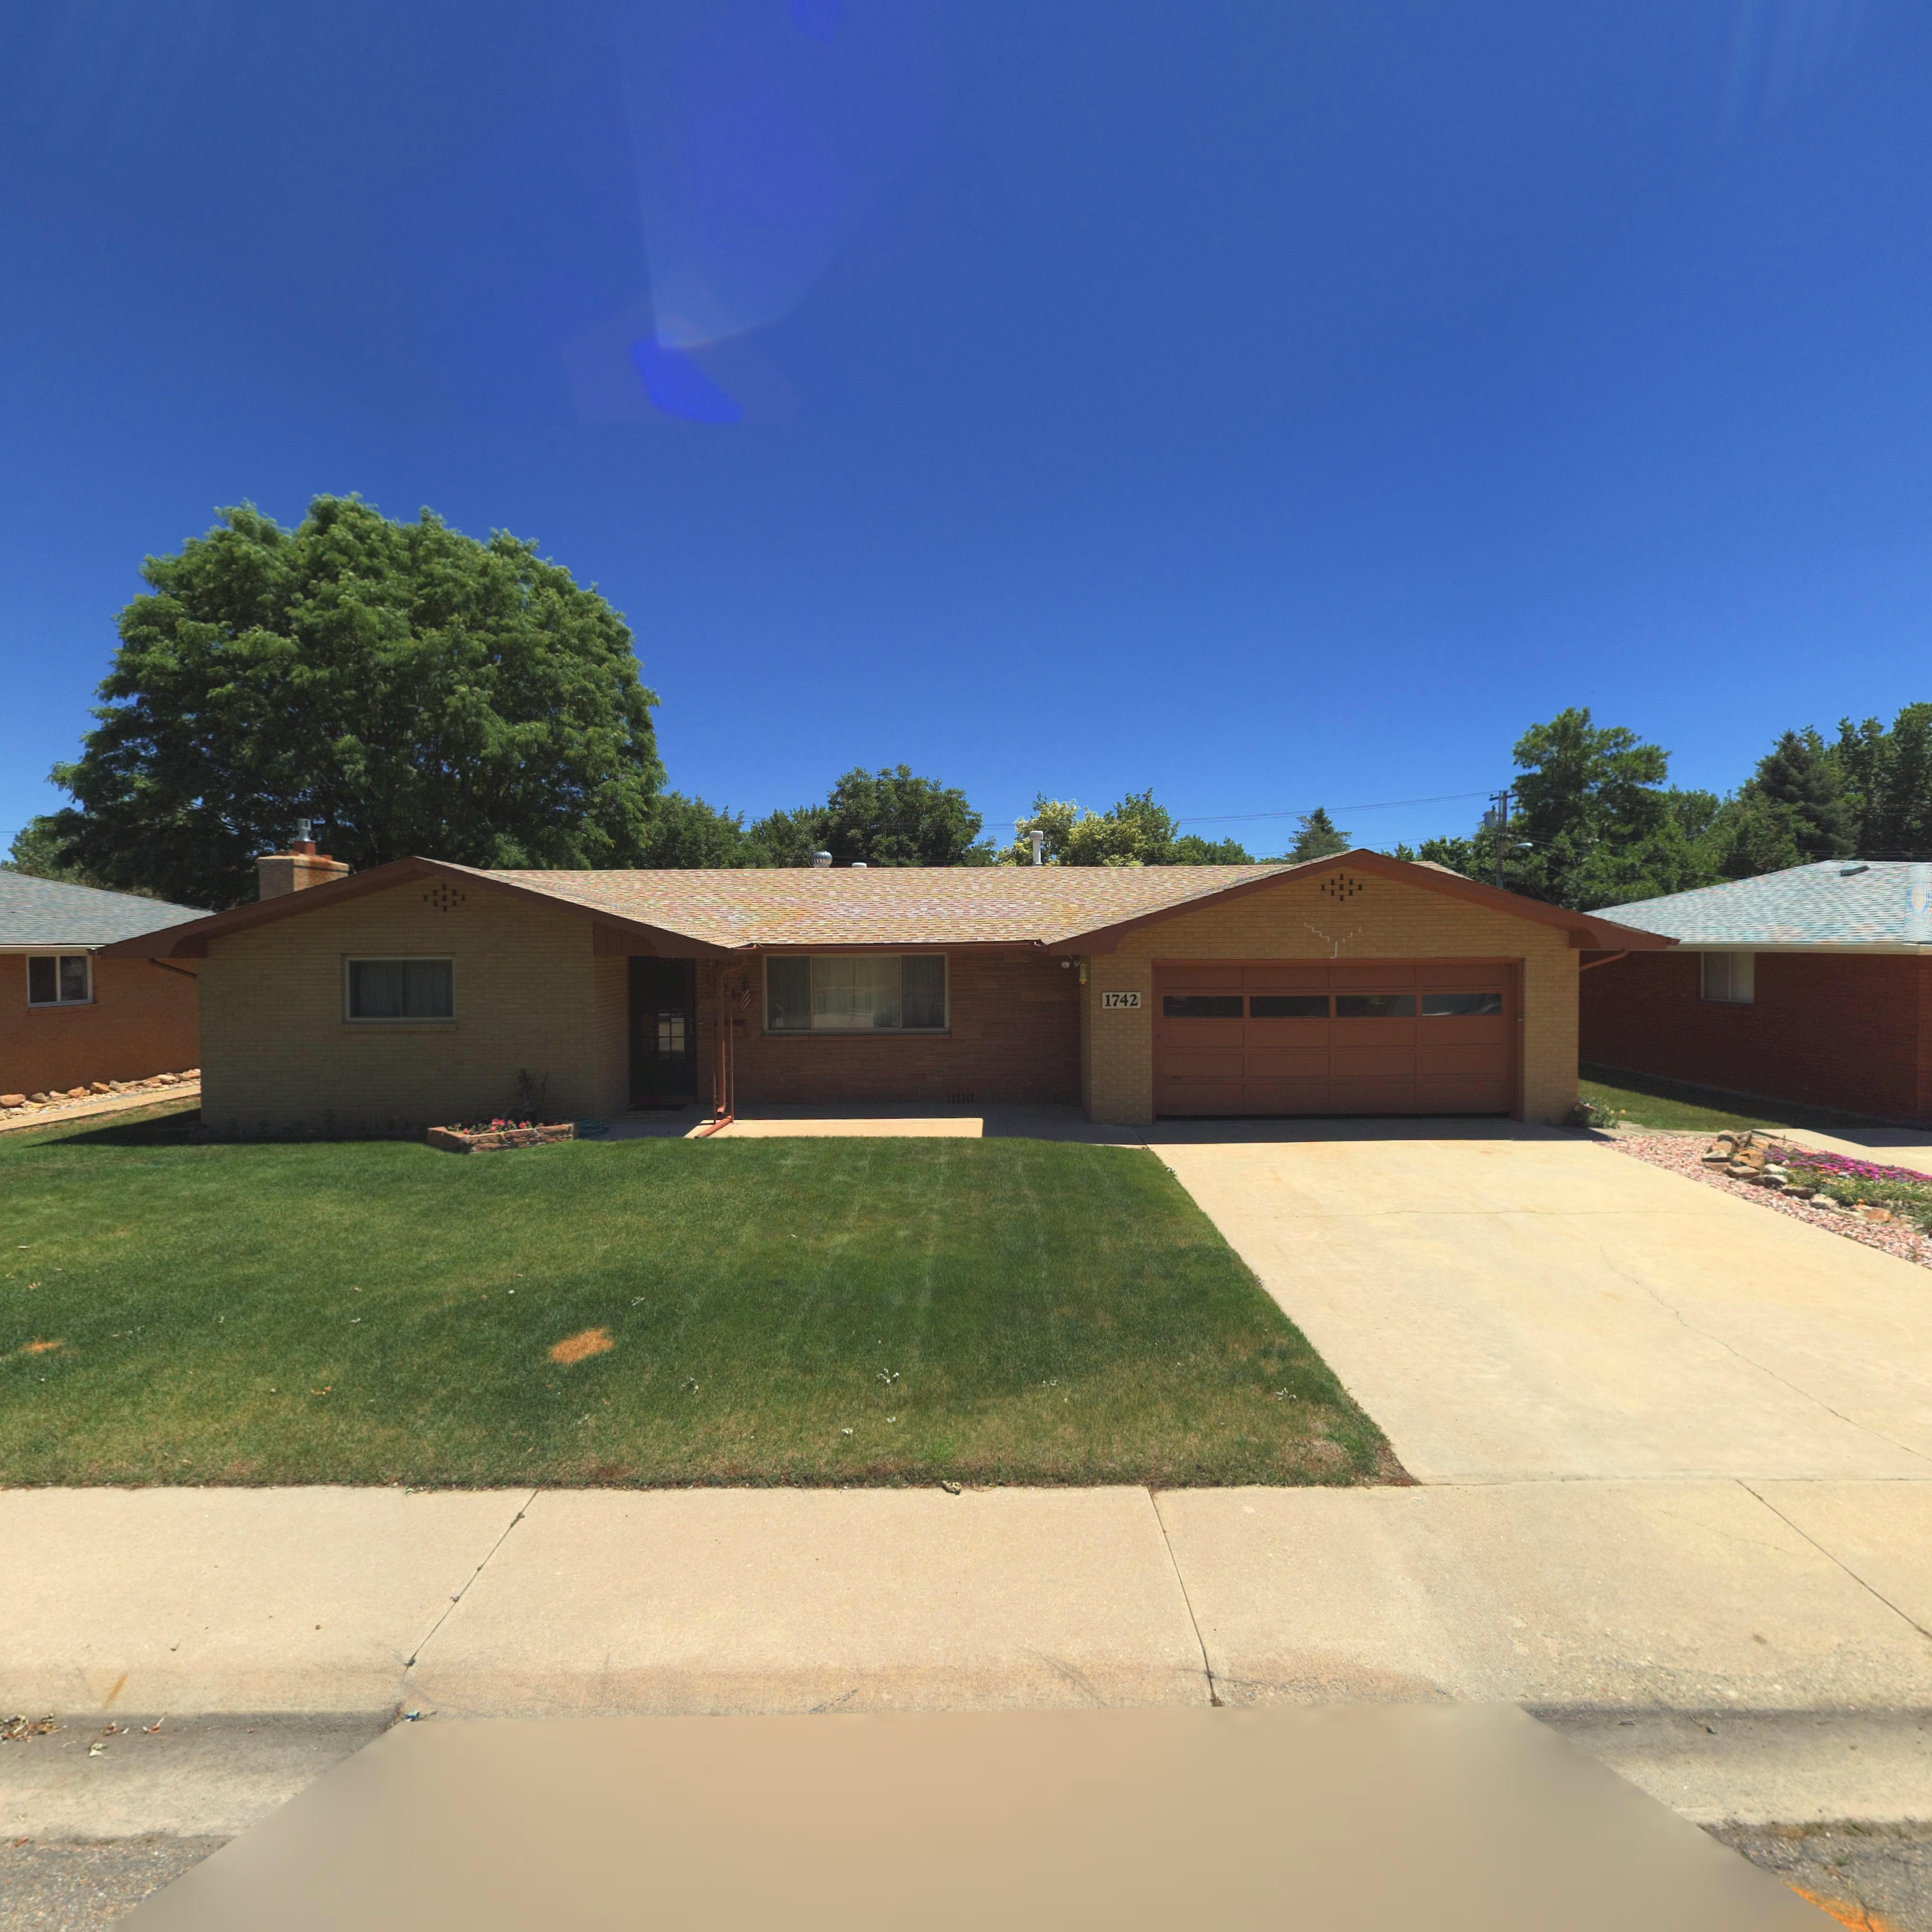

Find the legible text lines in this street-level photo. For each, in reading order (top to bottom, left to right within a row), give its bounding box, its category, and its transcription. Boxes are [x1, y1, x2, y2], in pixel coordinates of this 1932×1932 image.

[1104, 994, 1139, 1006] StreetNumber: 1742